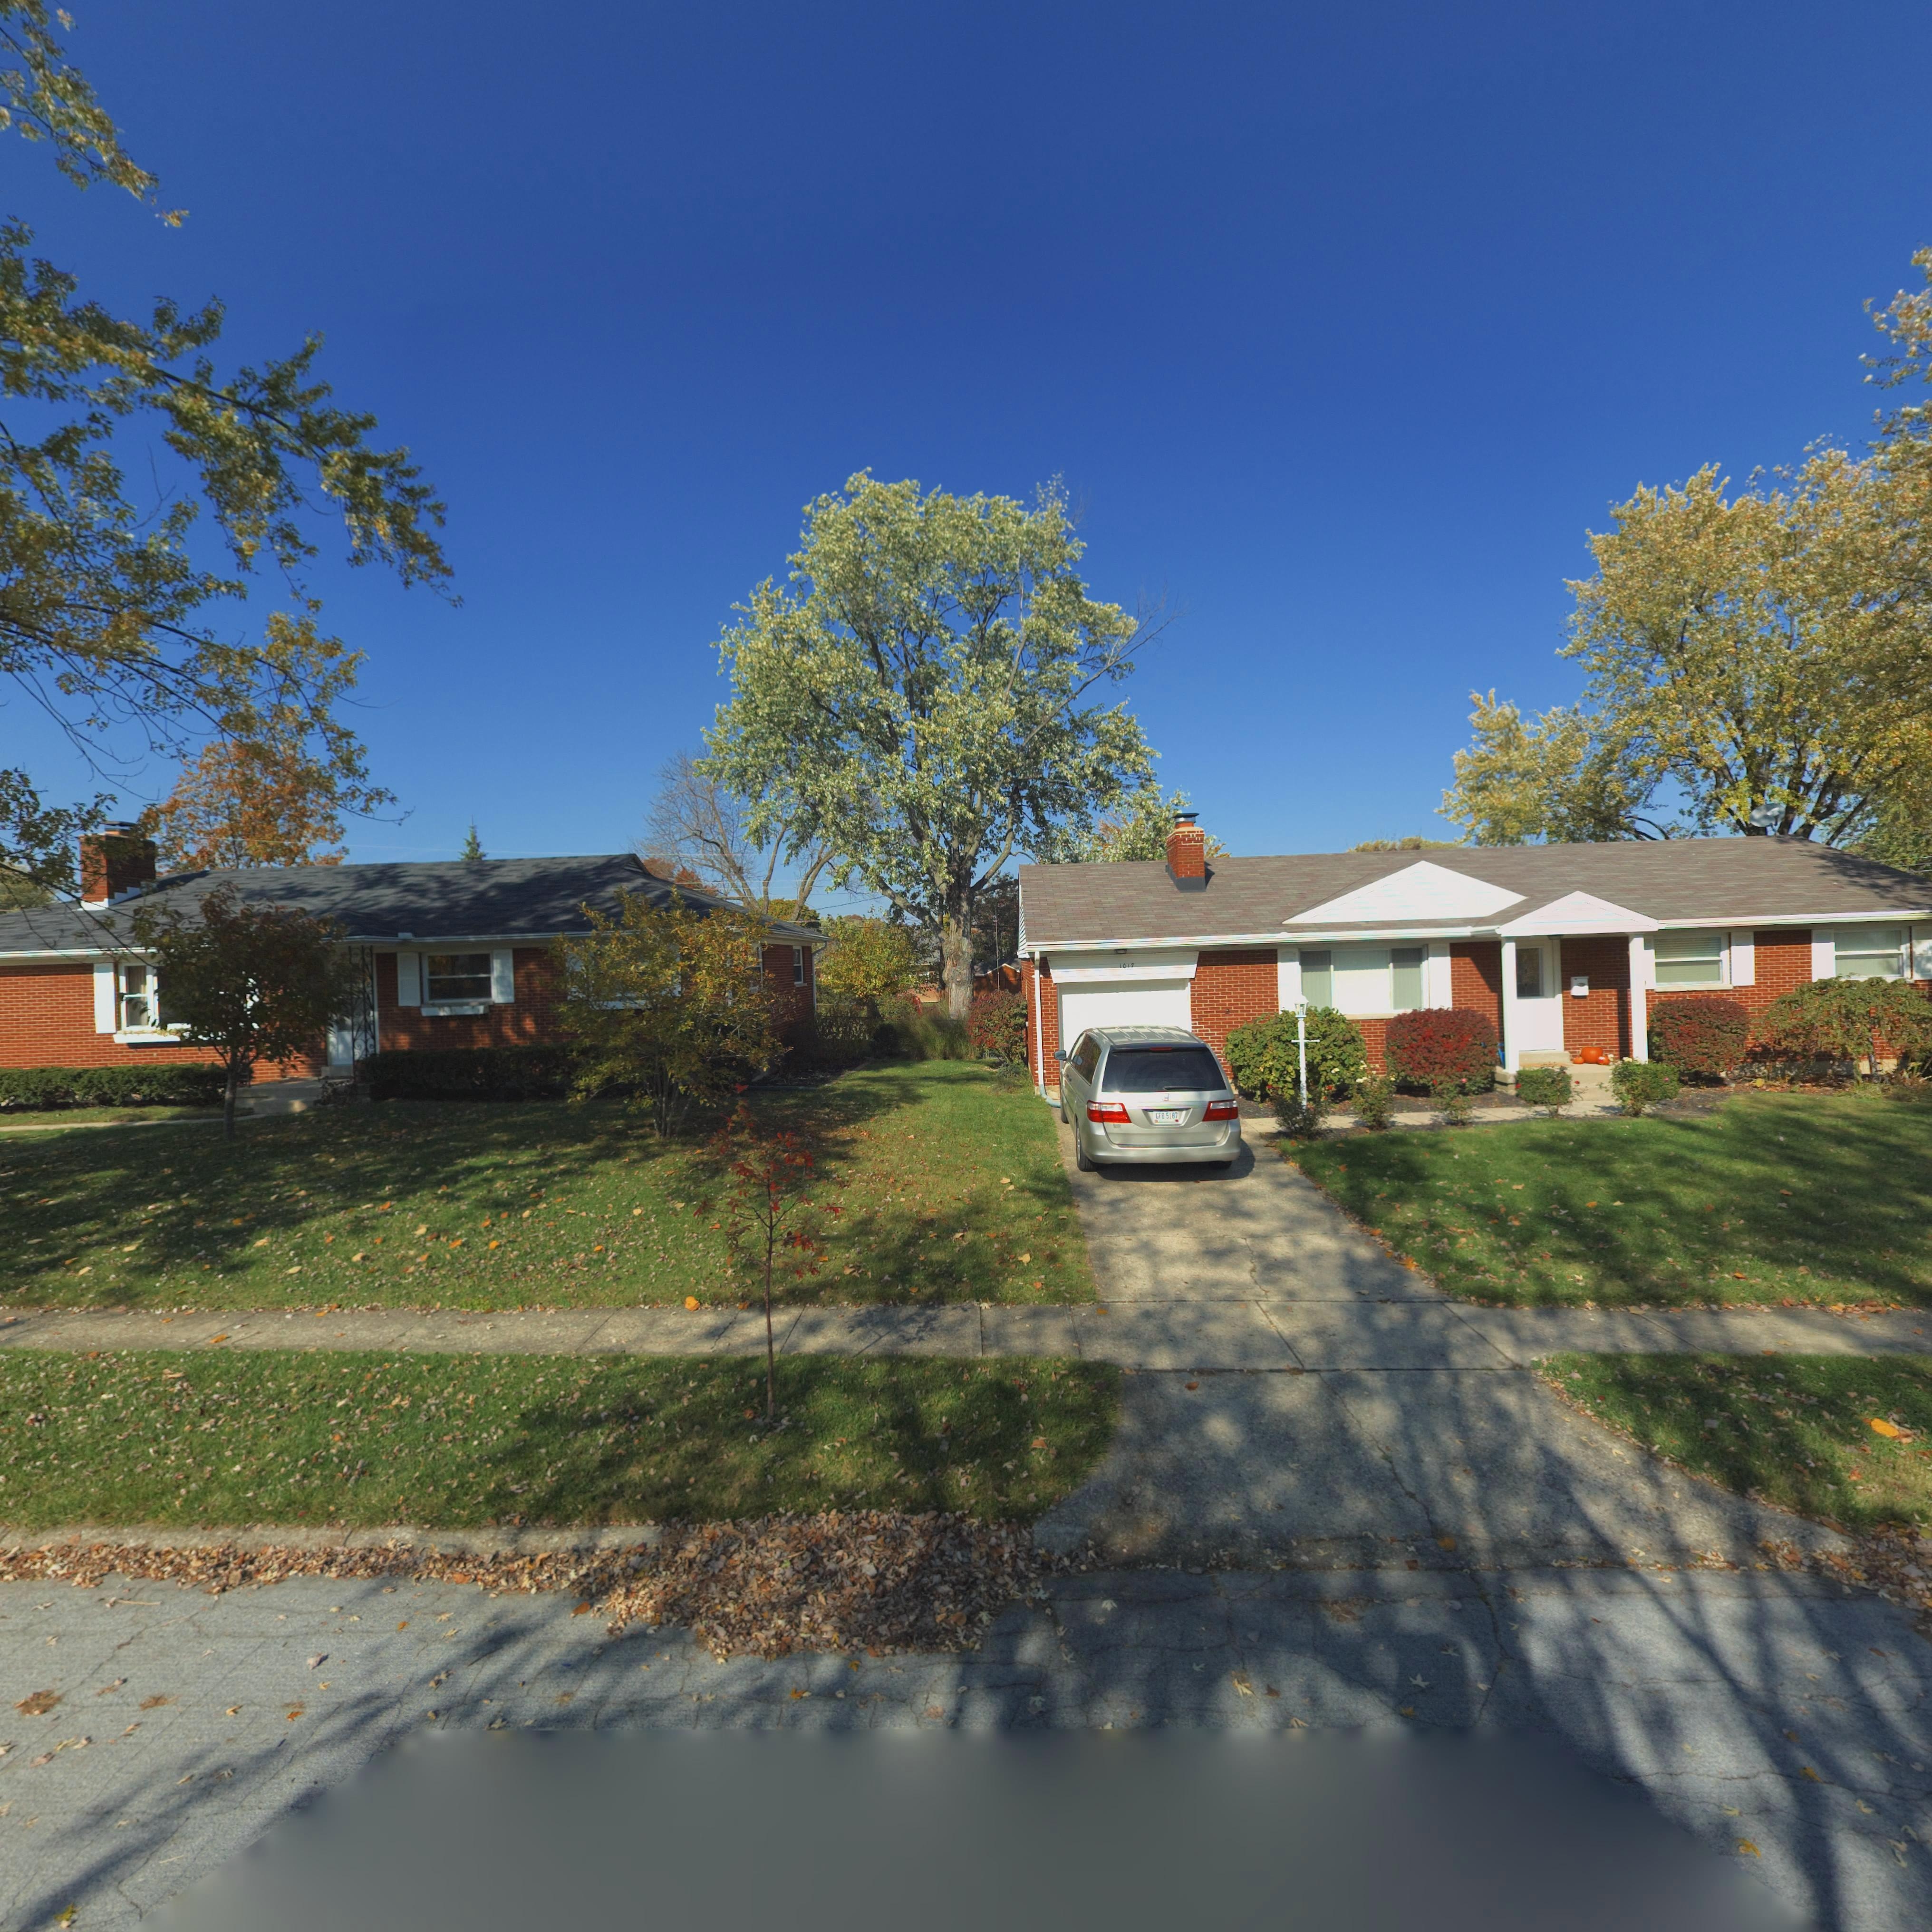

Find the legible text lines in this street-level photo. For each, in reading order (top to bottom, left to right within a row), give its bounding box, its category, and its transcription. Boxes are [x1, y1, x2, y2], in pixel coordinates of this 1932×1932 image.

[1119, 962, 1136, 970] StreetNumber: 1017
[1155, 1111, 1179, 1120] None: GFB 5187